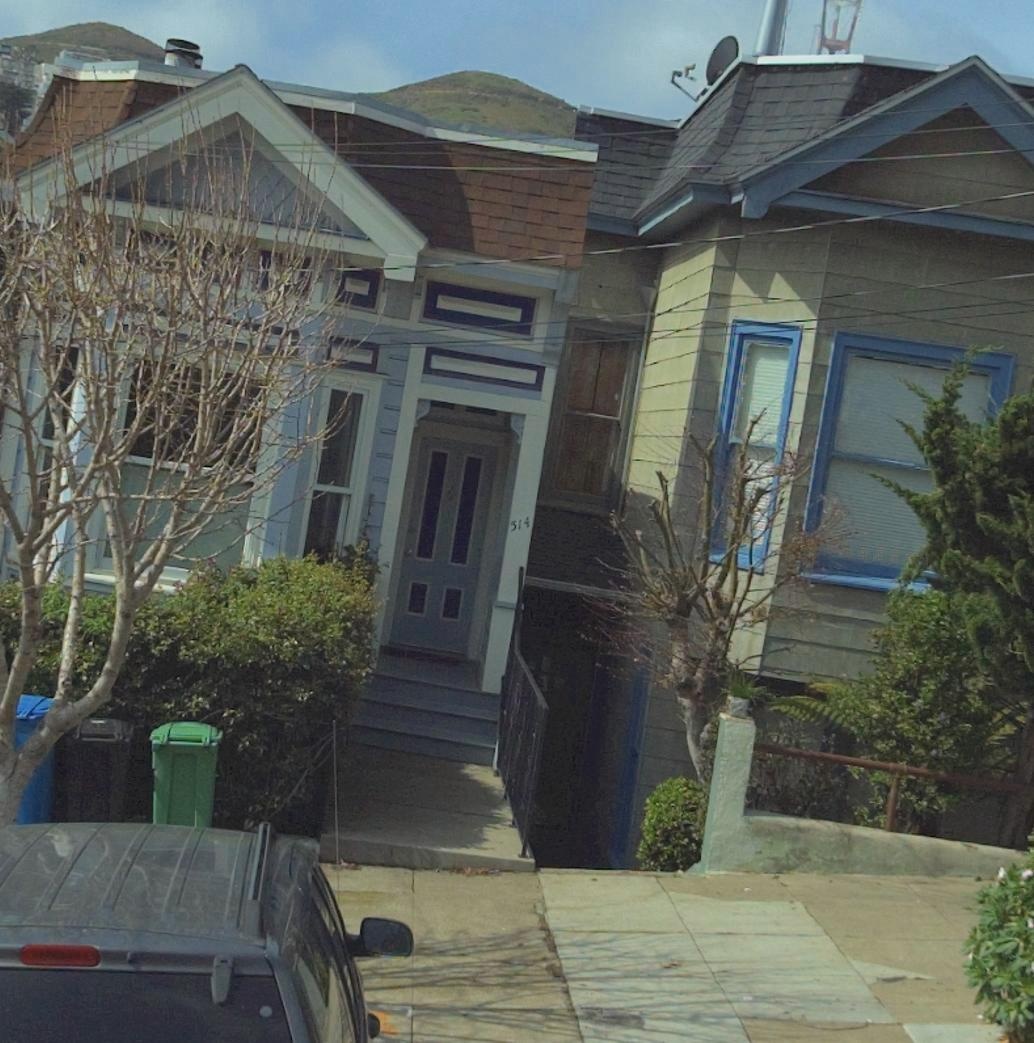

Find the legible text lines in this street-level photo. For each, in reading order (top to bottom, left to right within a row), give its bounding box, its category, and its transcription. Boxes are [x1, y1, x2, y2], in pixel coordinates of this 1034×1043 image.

[507, 513, 531, 535] StreetNumber: 514